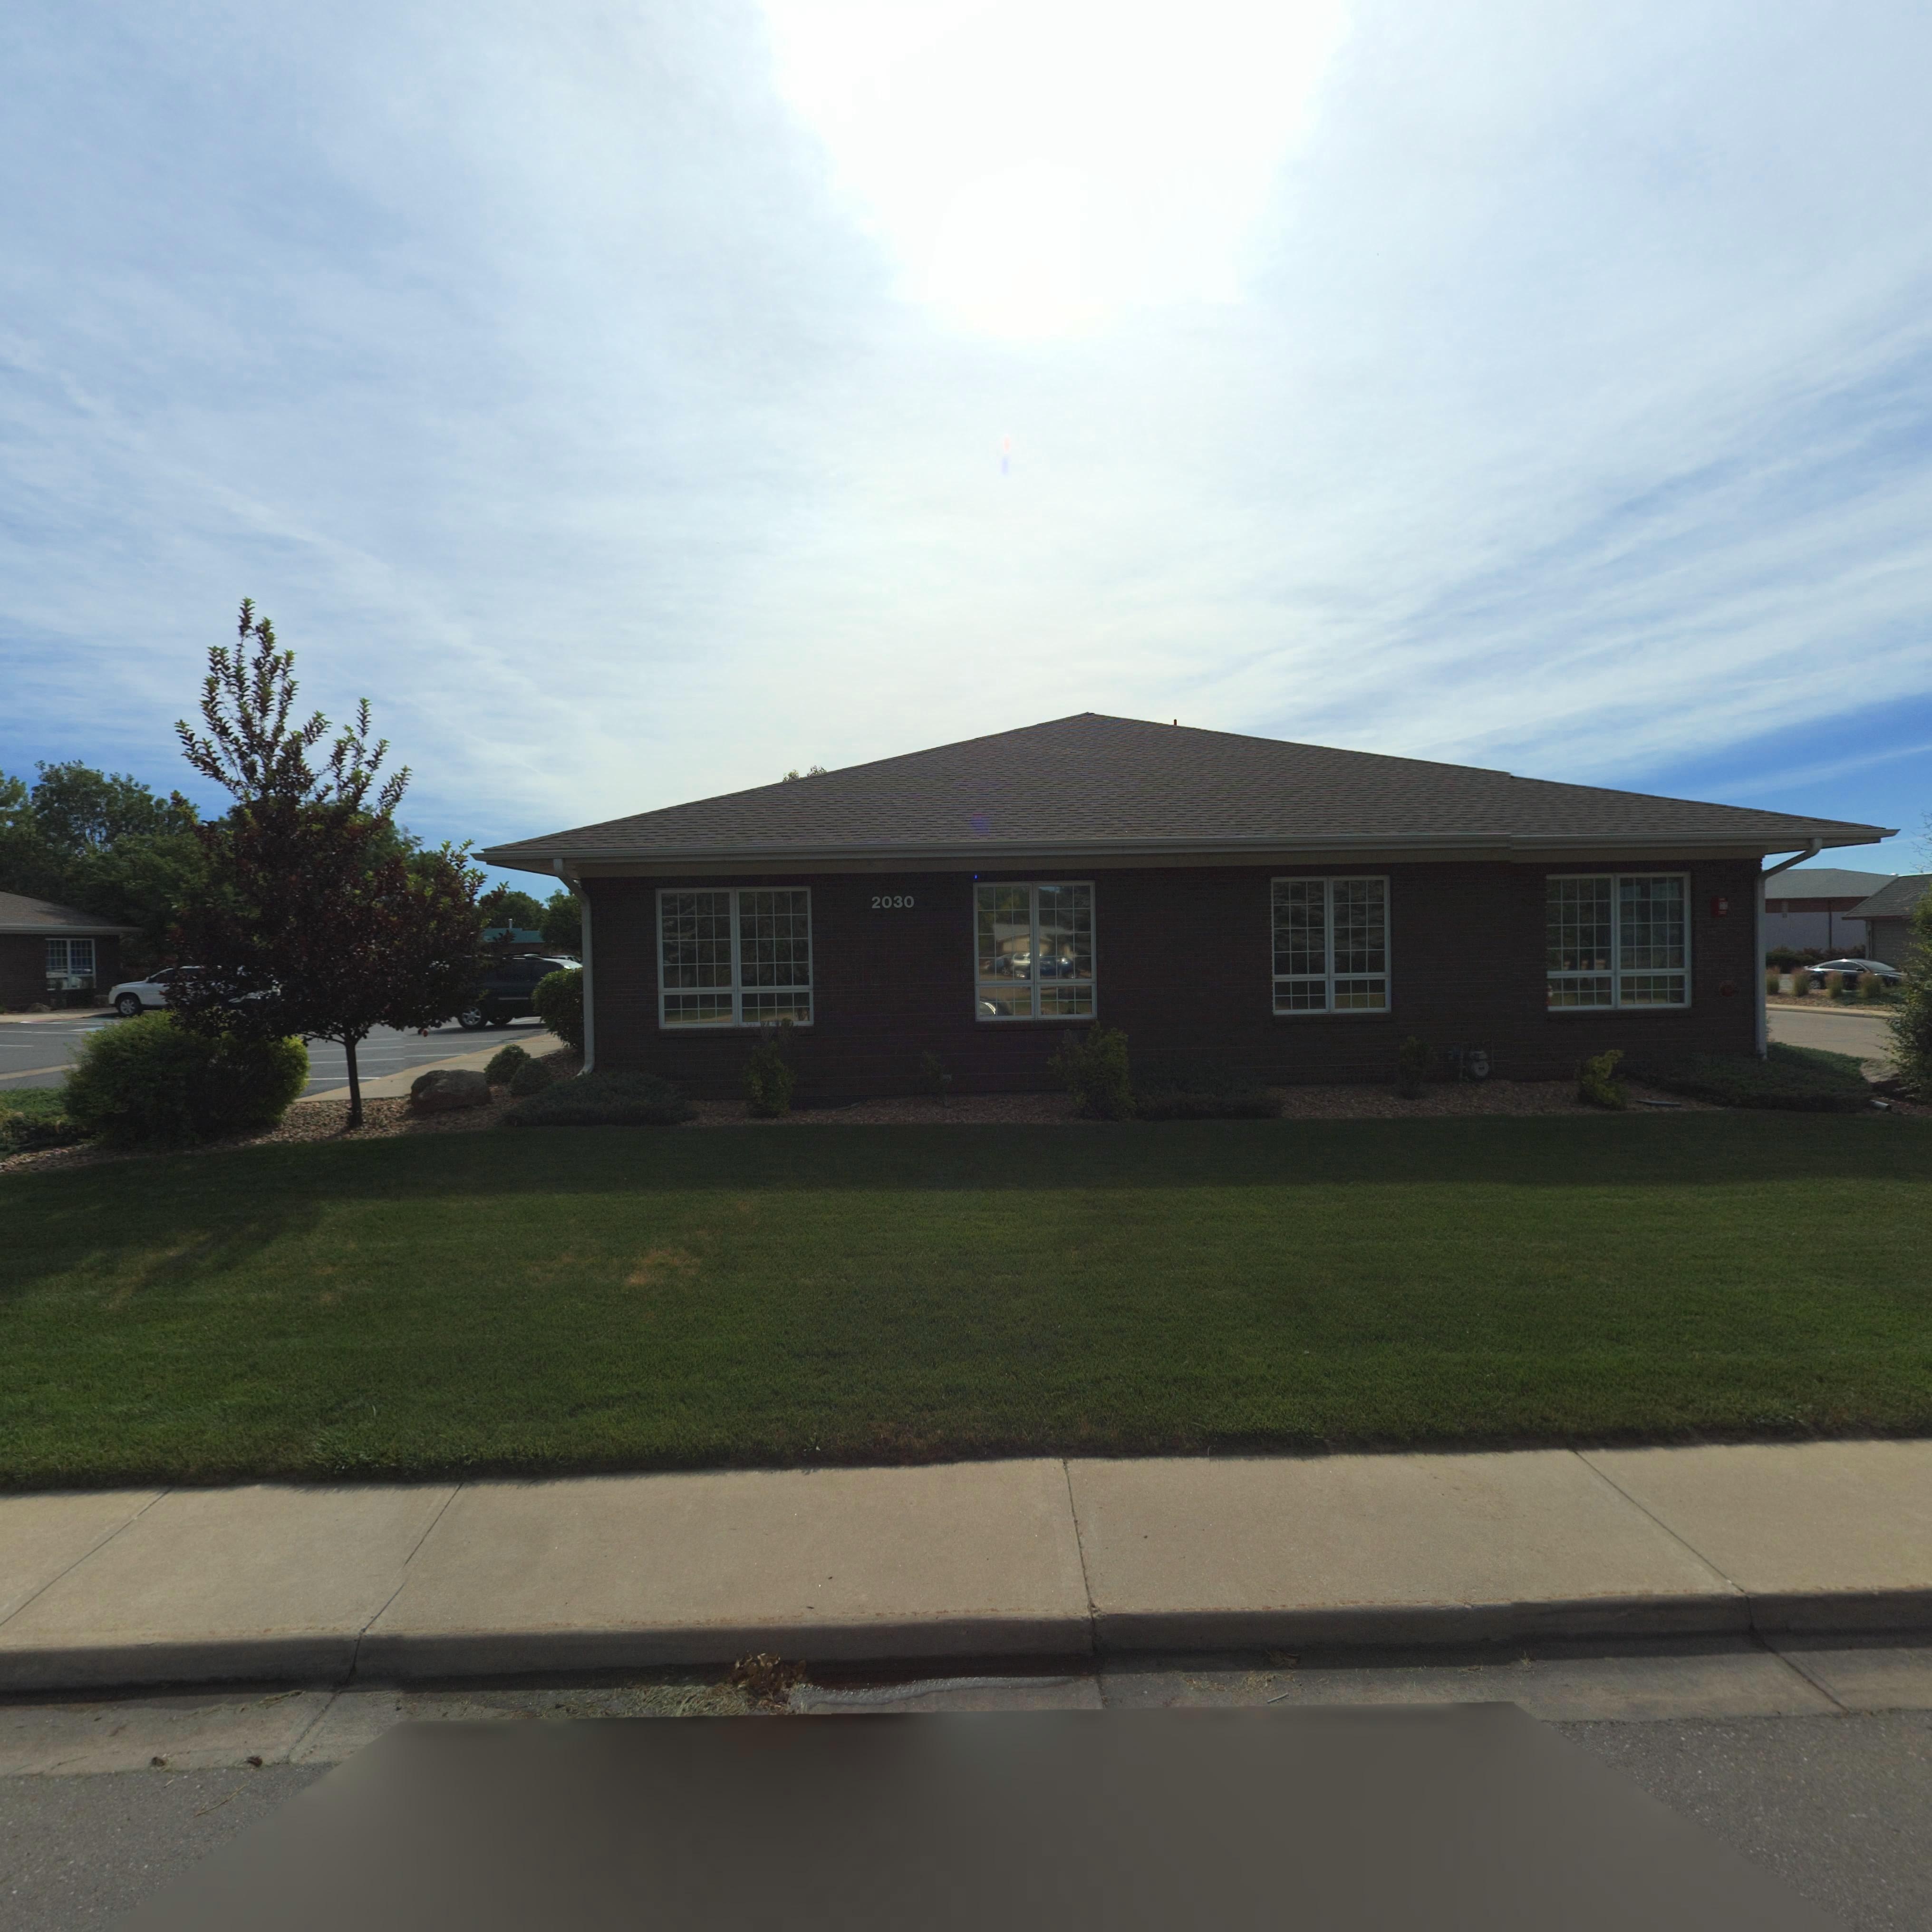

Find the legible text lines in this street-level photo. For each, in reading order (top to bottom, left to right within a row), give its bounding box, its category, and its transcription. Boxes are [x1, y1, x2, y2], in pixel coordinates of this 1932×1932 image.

[870, 895, 915, 908] StreetNumber: 2030